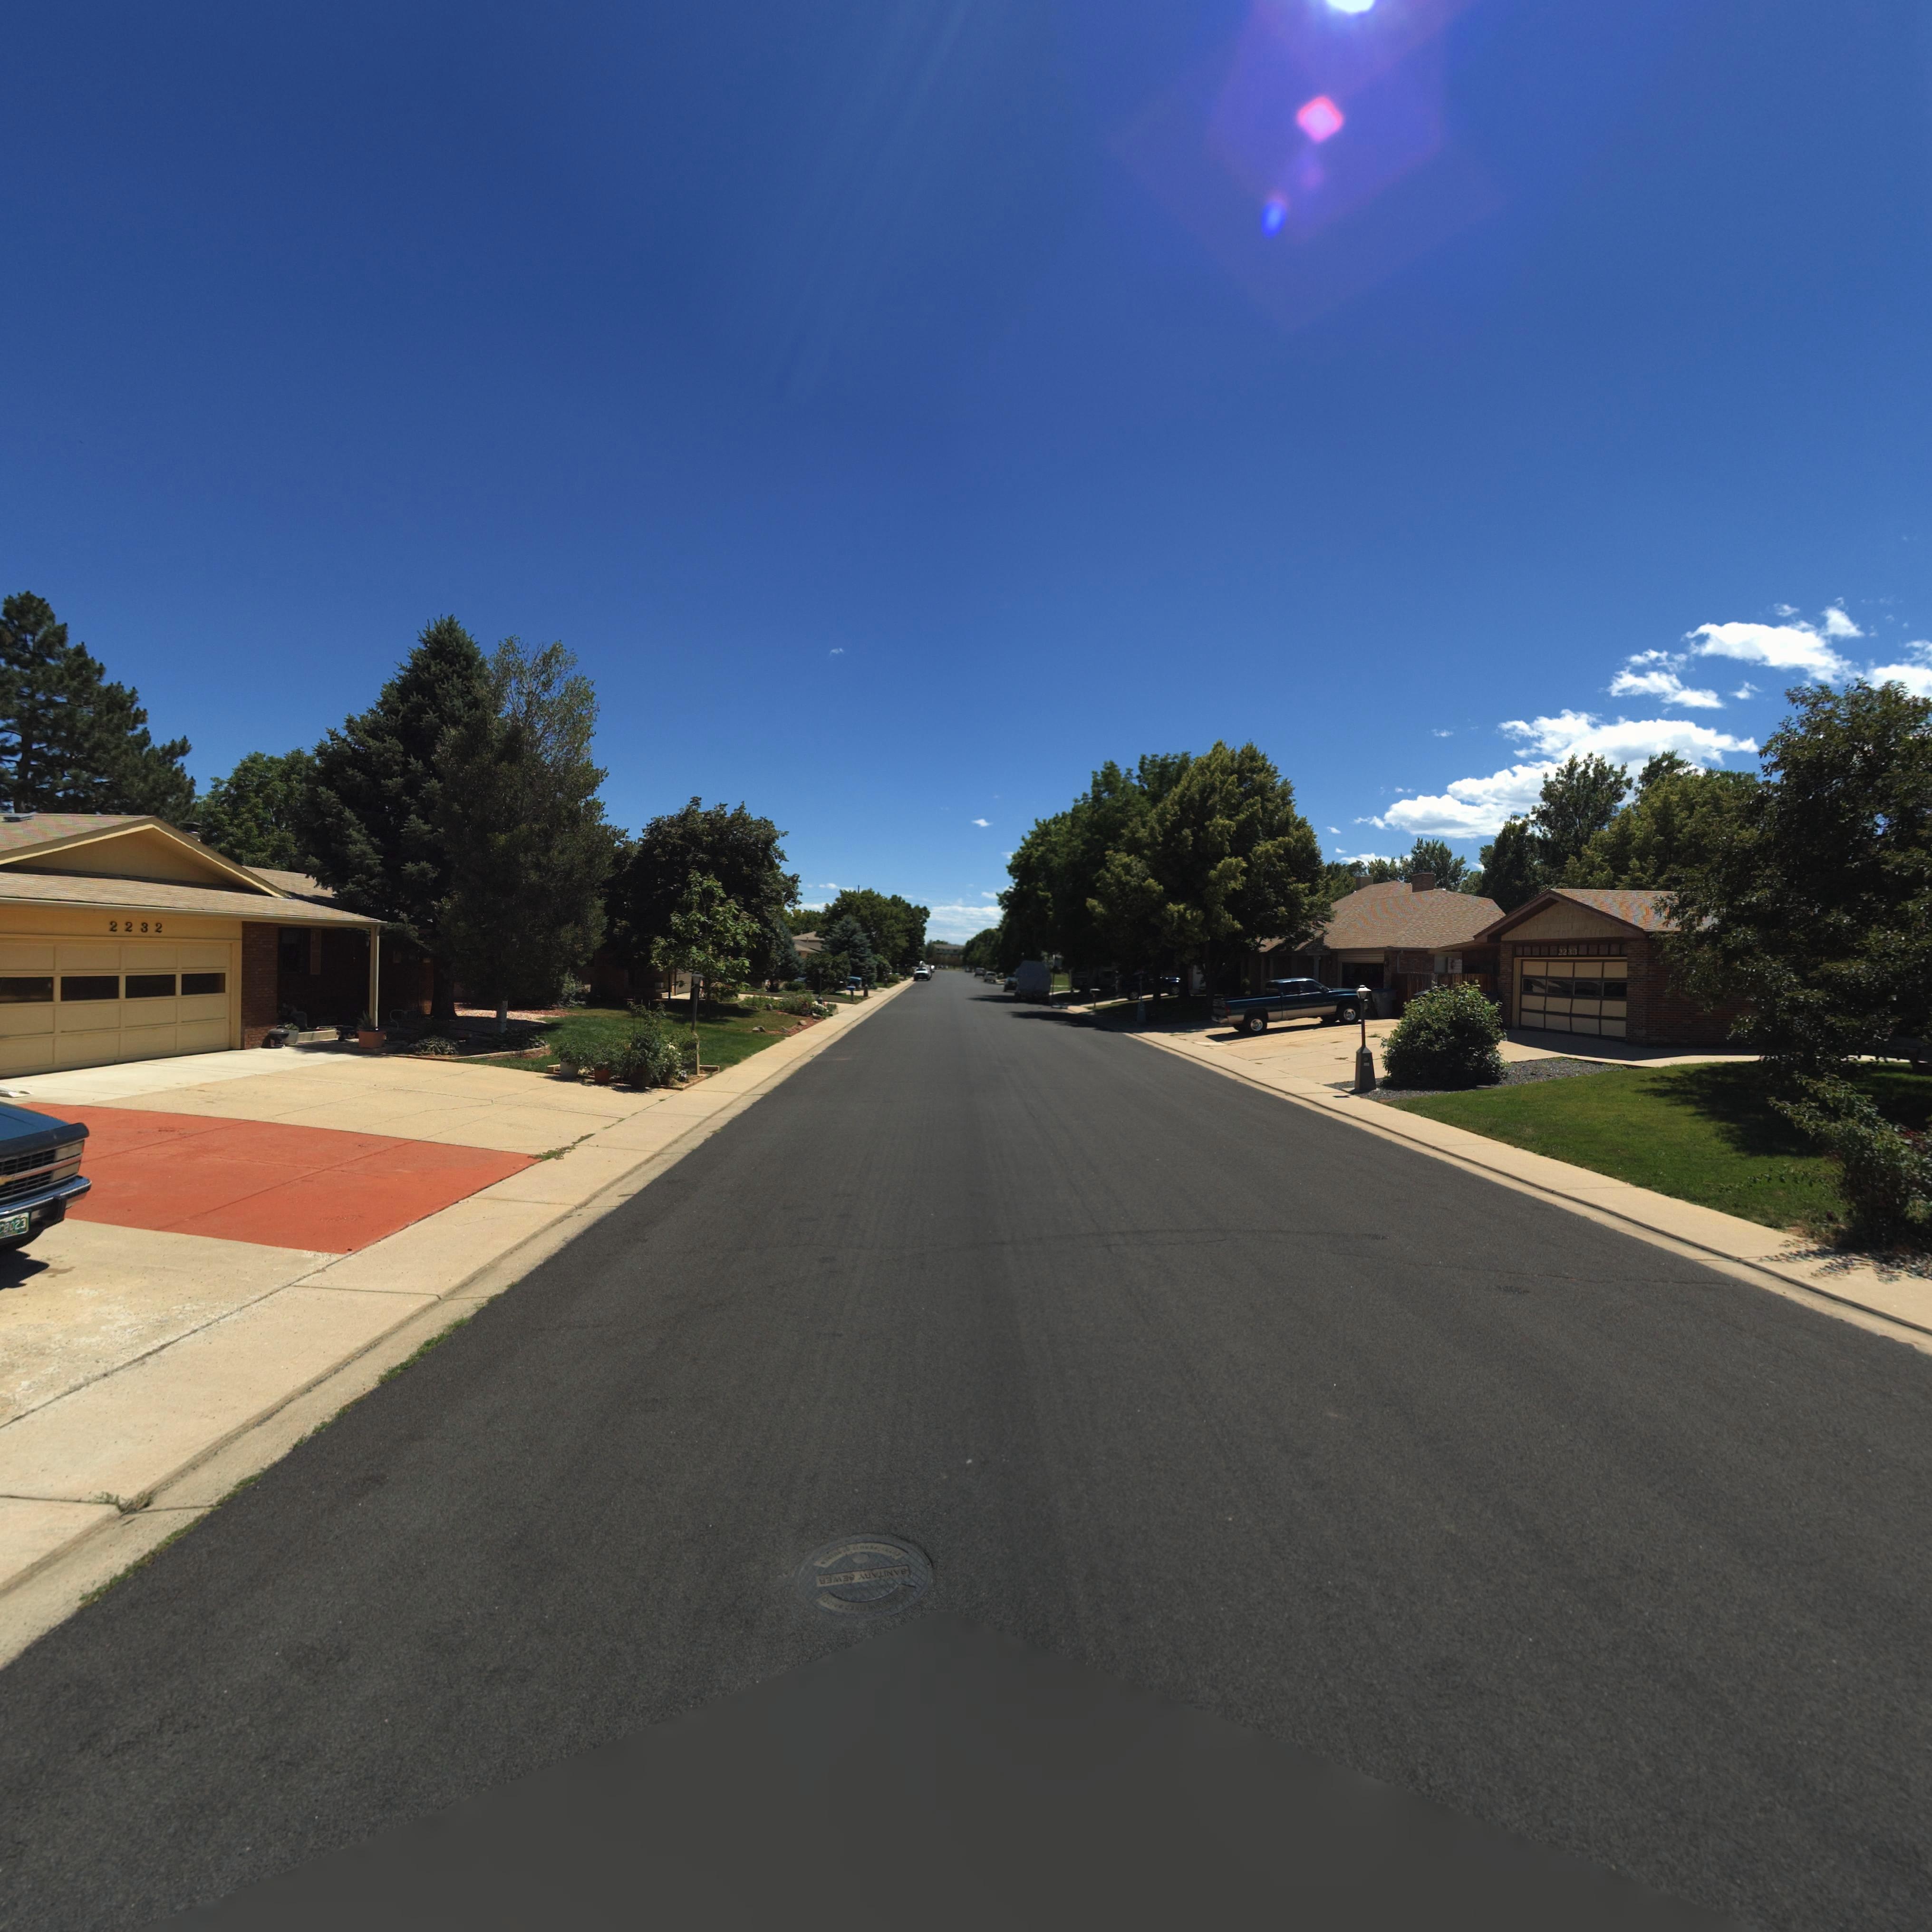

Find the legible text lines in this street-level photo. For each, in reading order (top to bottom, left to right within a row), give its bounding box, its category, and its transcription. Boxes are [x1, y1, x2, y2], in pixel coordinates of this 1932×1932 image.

[109, 920, 163, 933] StreetNumber: 2232
[1558, 948, 1577, 956] StreetNumber: 2233